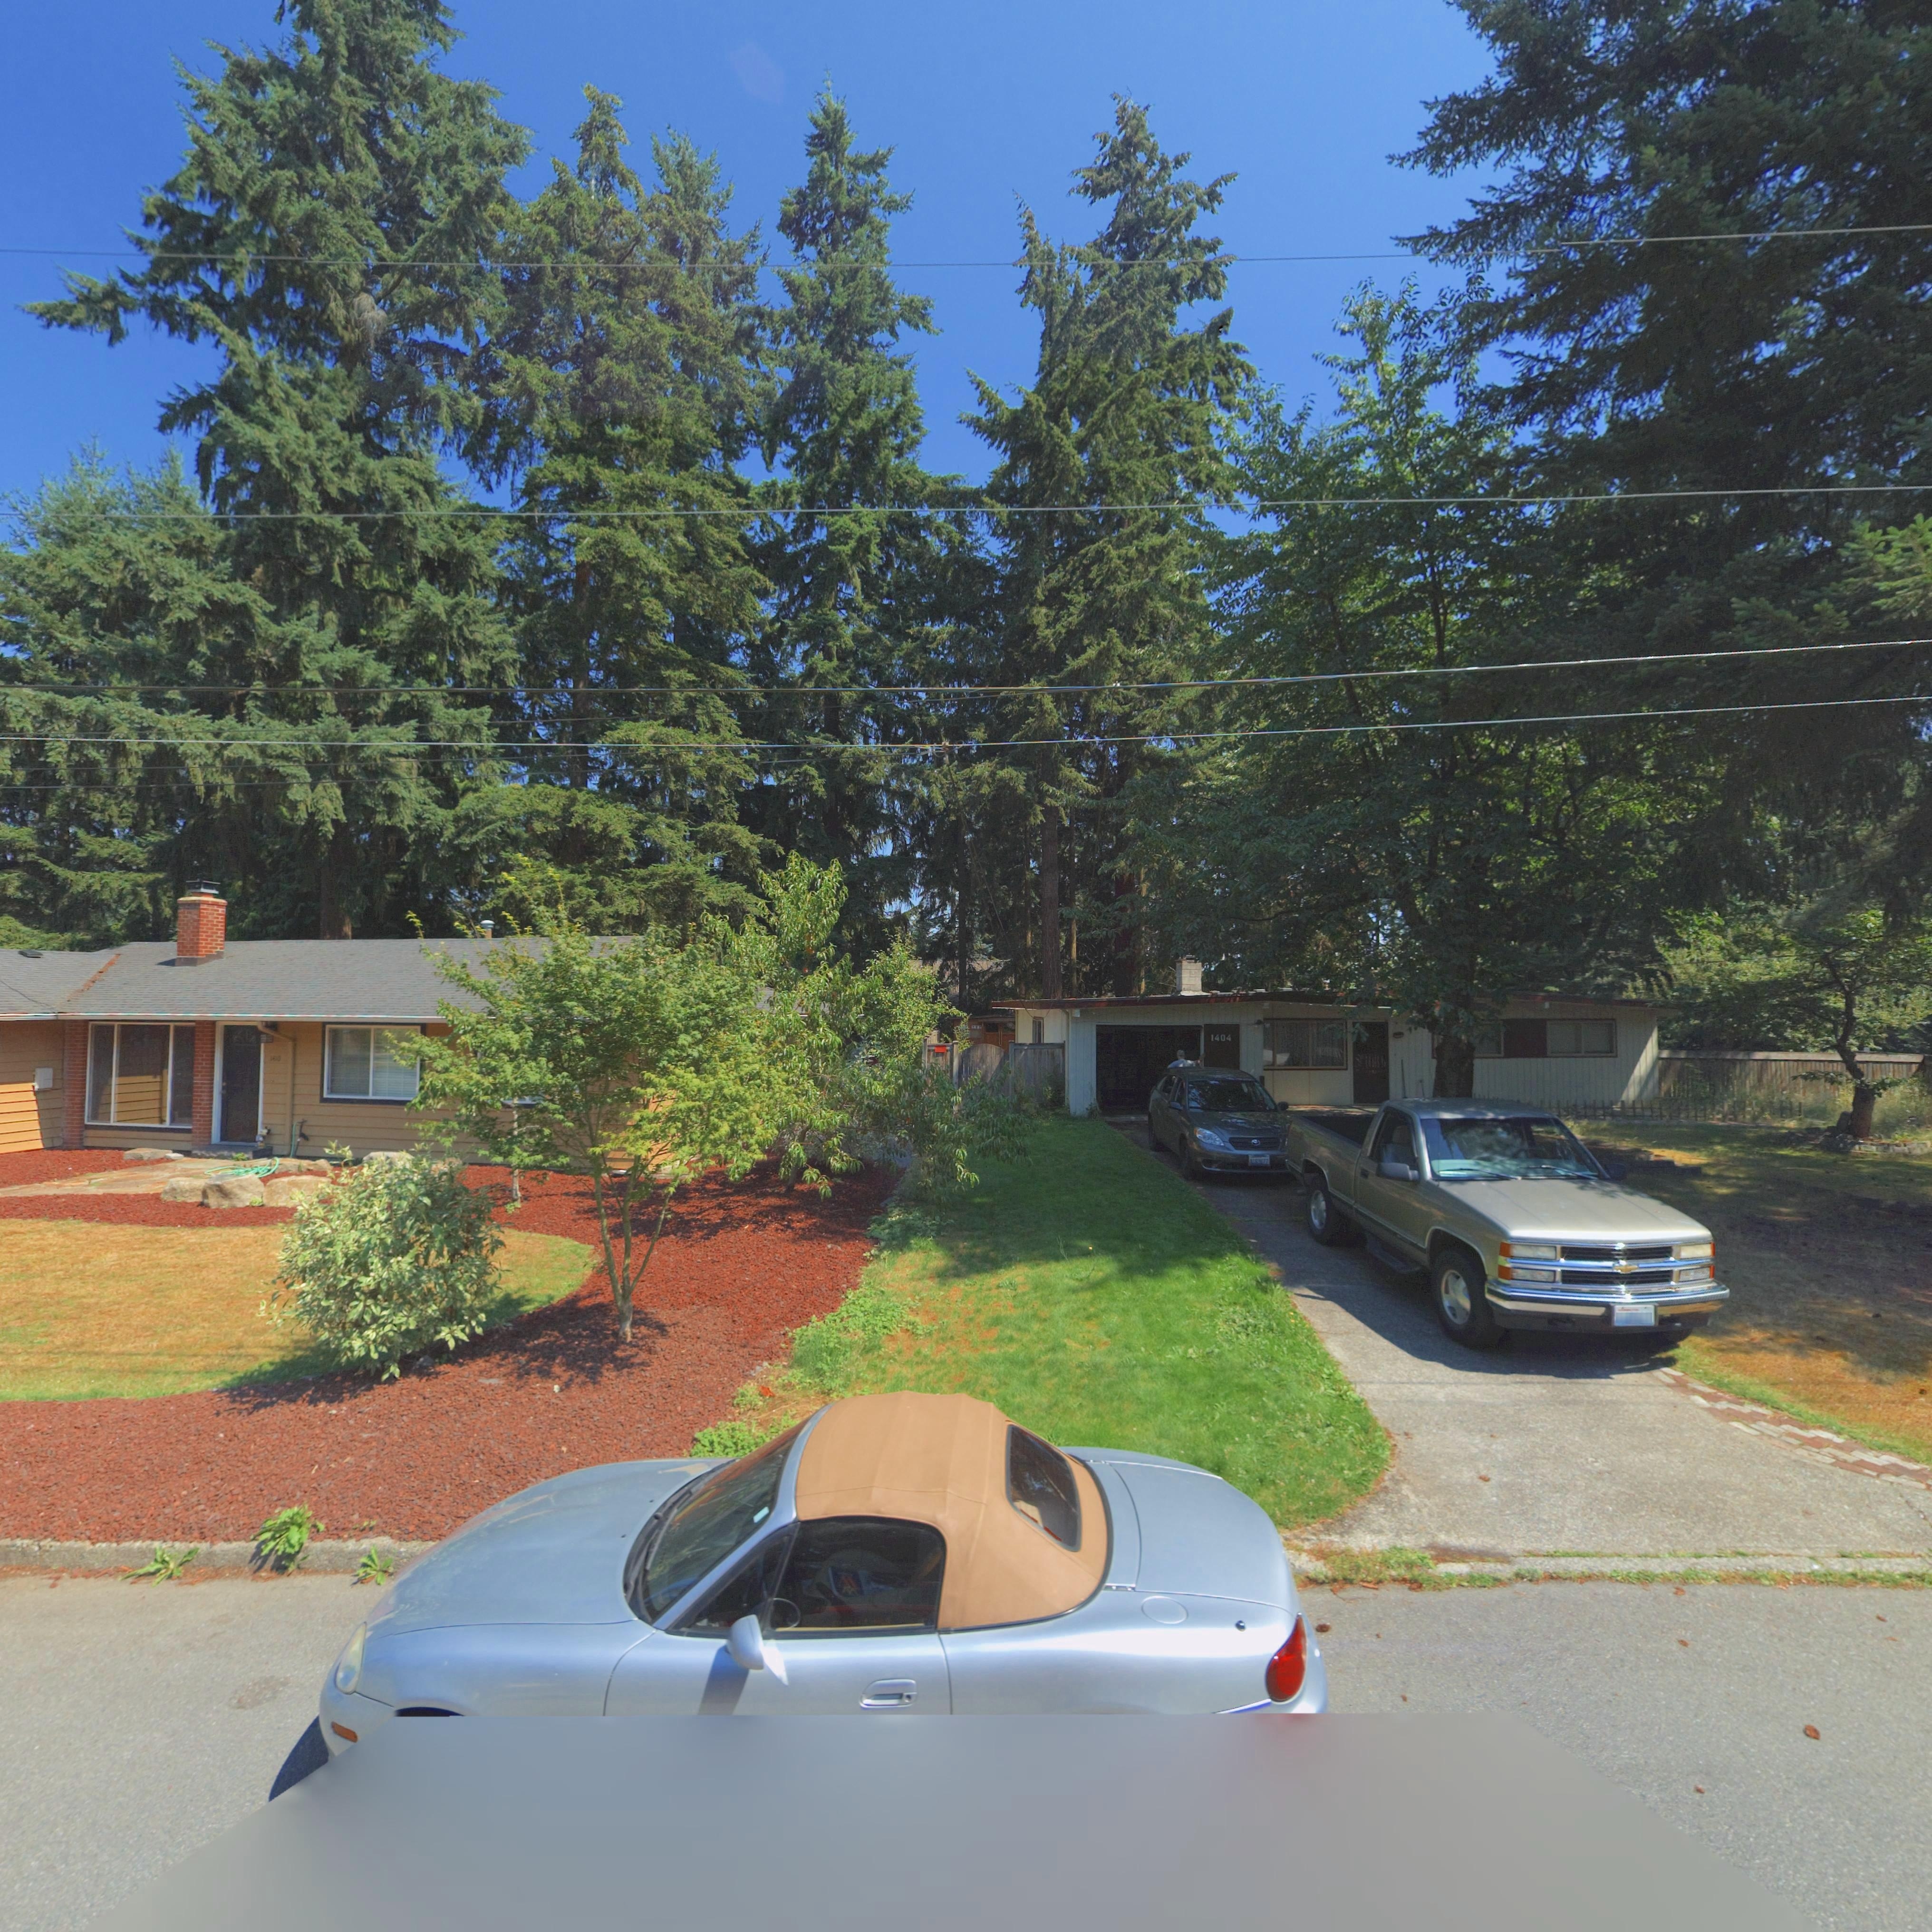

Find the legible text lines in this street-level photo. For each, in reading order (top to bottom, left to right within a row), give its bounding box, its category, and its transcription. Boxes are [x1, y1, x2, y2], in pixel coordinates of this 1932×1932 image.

[1211, 1034, 1231, 1042] StreetNumber: 1404